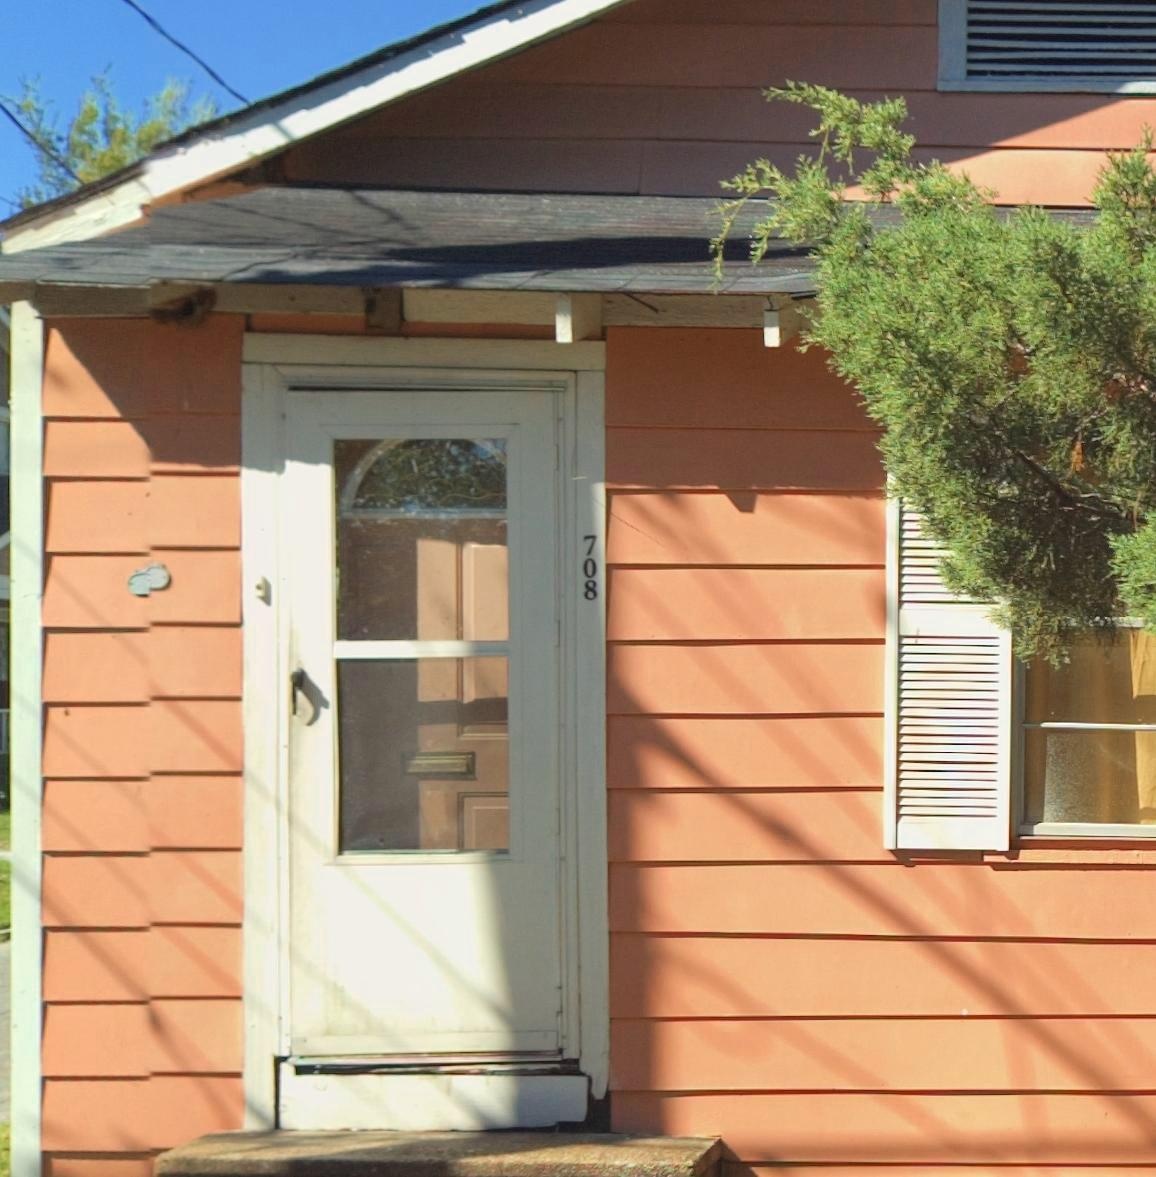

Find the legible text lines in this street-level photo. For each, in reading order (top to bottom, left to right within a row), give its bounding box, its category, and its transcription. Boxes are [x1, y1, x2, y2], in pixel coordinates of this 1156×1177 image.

[580, 532, 600, 603] StreetNumber: 708